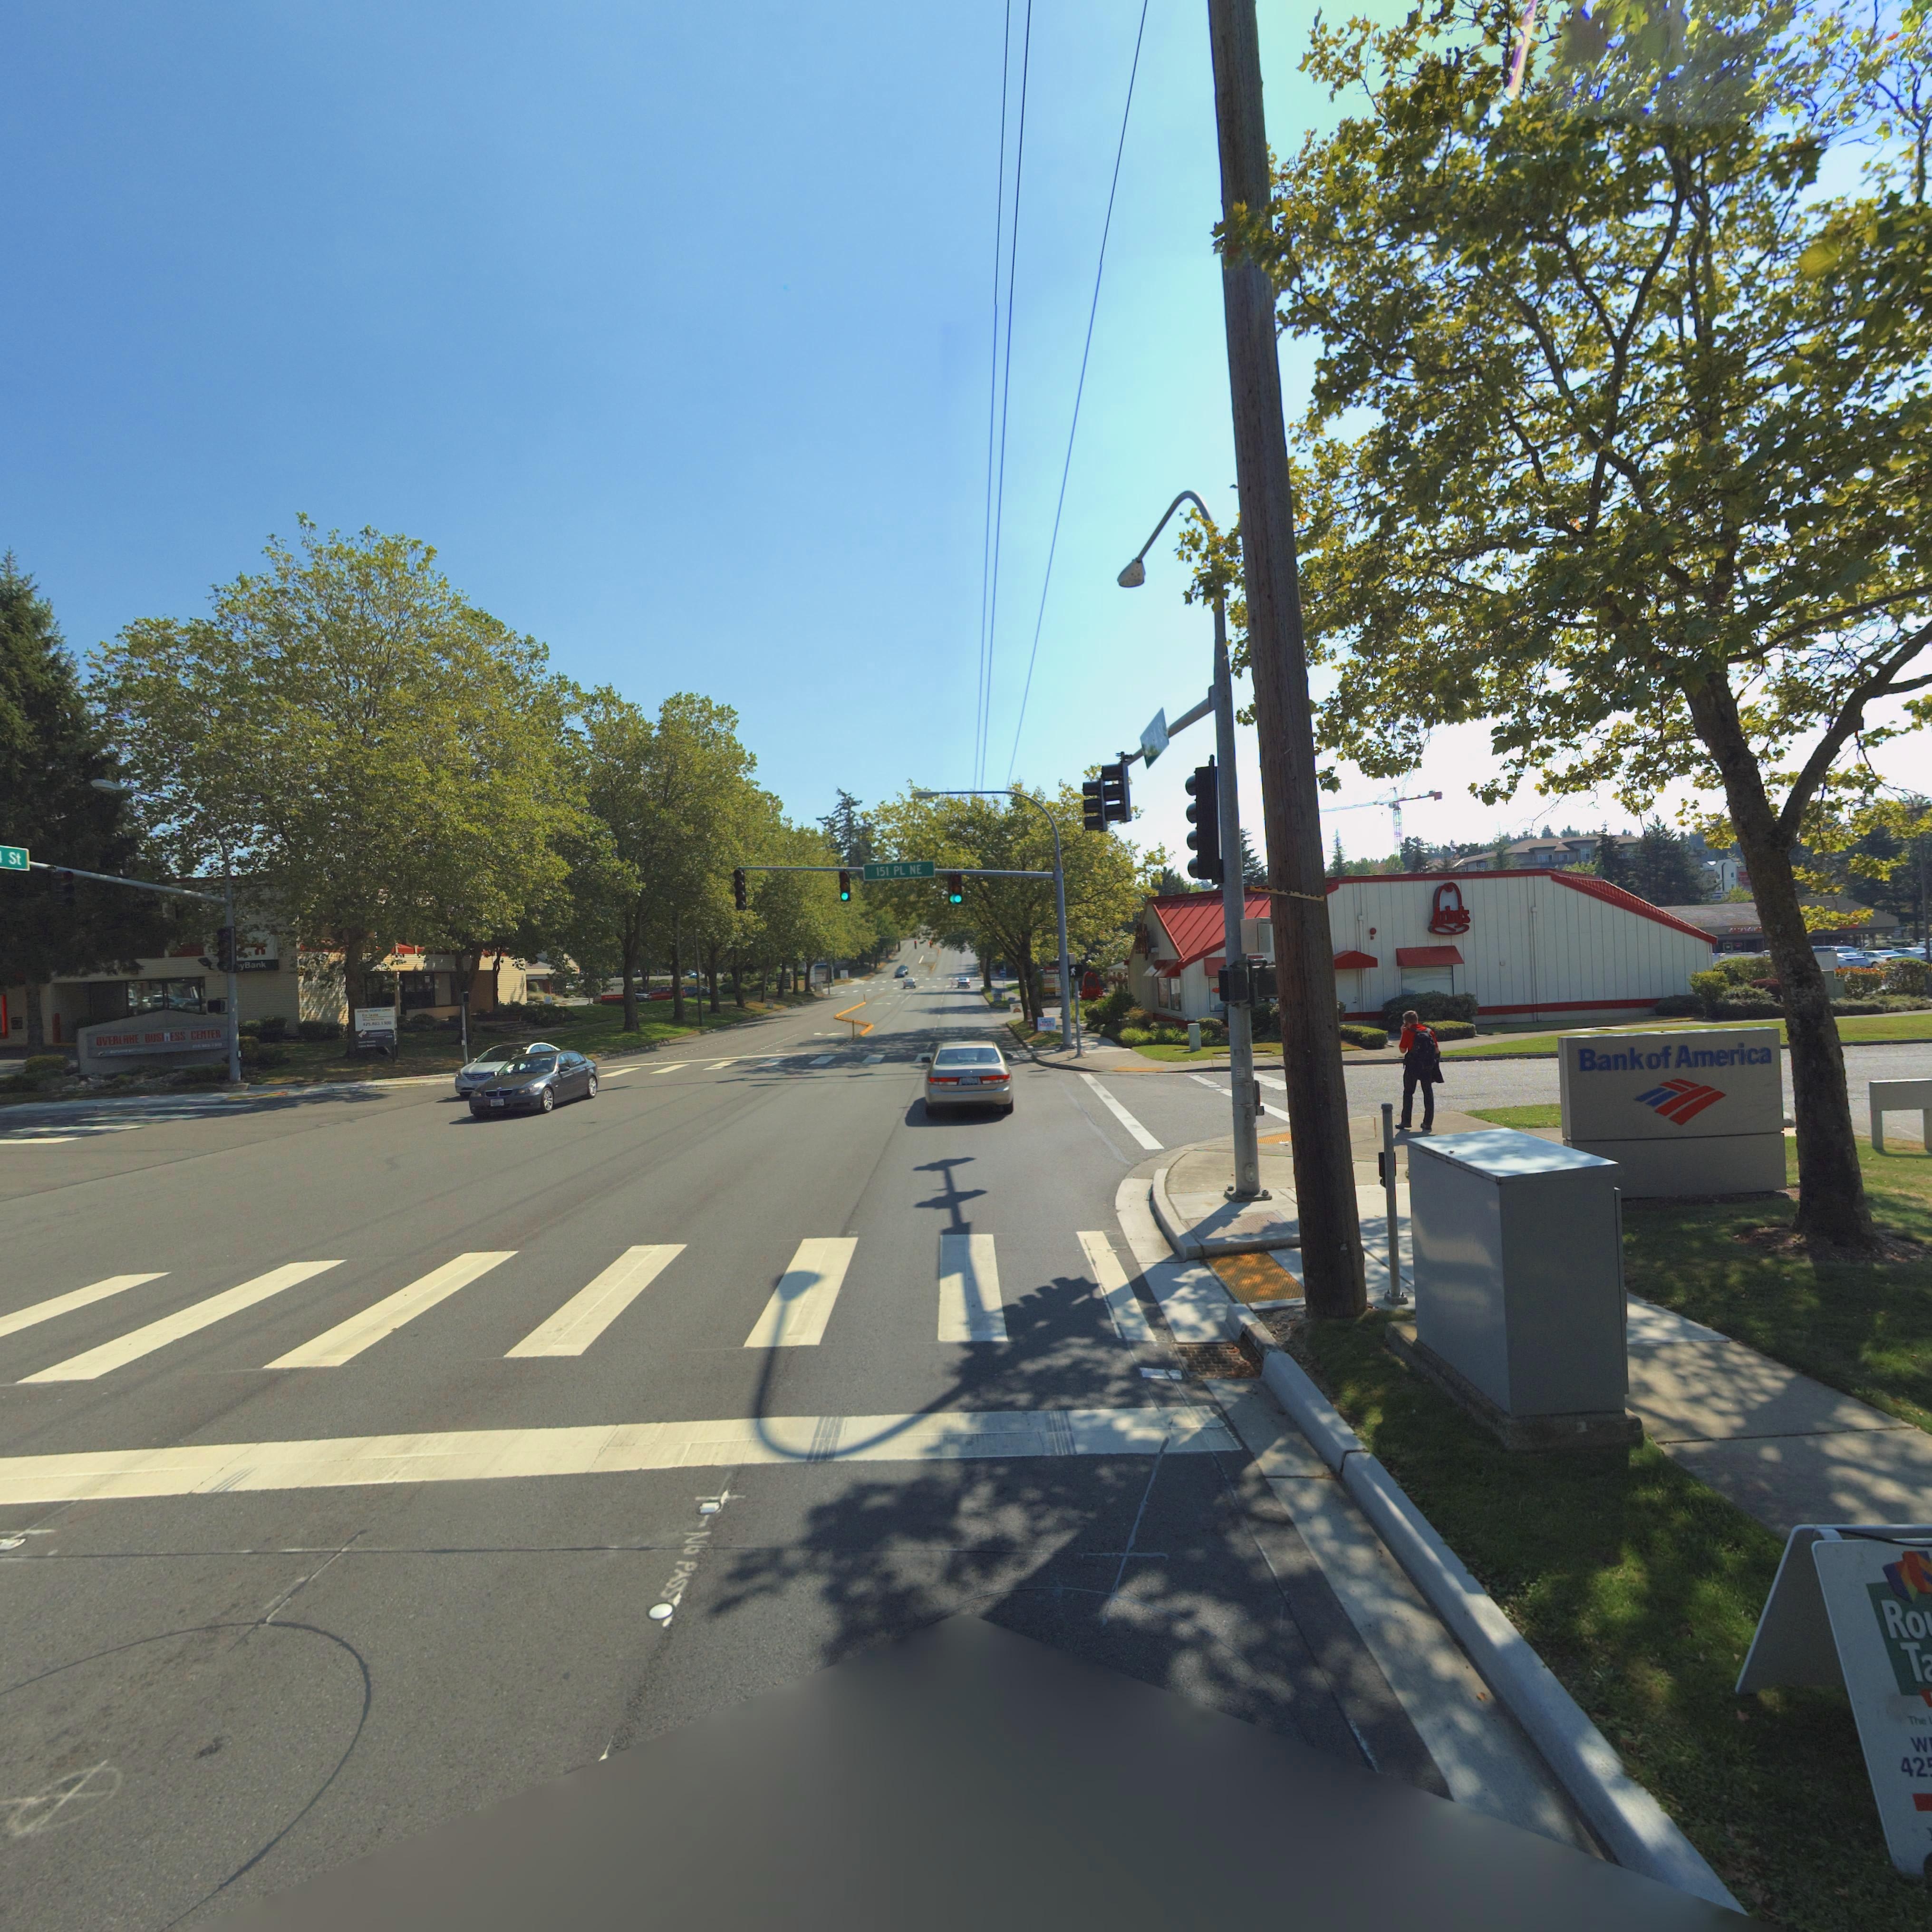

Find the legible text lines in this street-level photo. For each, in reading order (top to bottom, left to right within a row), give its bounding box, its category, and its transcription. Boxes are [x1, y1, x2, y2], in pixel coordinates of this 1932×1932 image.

[876, 865, 922, 876] StreetName: 151 PL NE
[1430, 905, 1470, 928] BusinessName: Arby*s
[236, 961, 266, 970] BusinessName: *yBank
[96, 1029, 221, 1046] BusinessName: OVELAKE BUSINESS CENTER
[1578, 1043, 1771, 1072] BusinessName: Bank of America